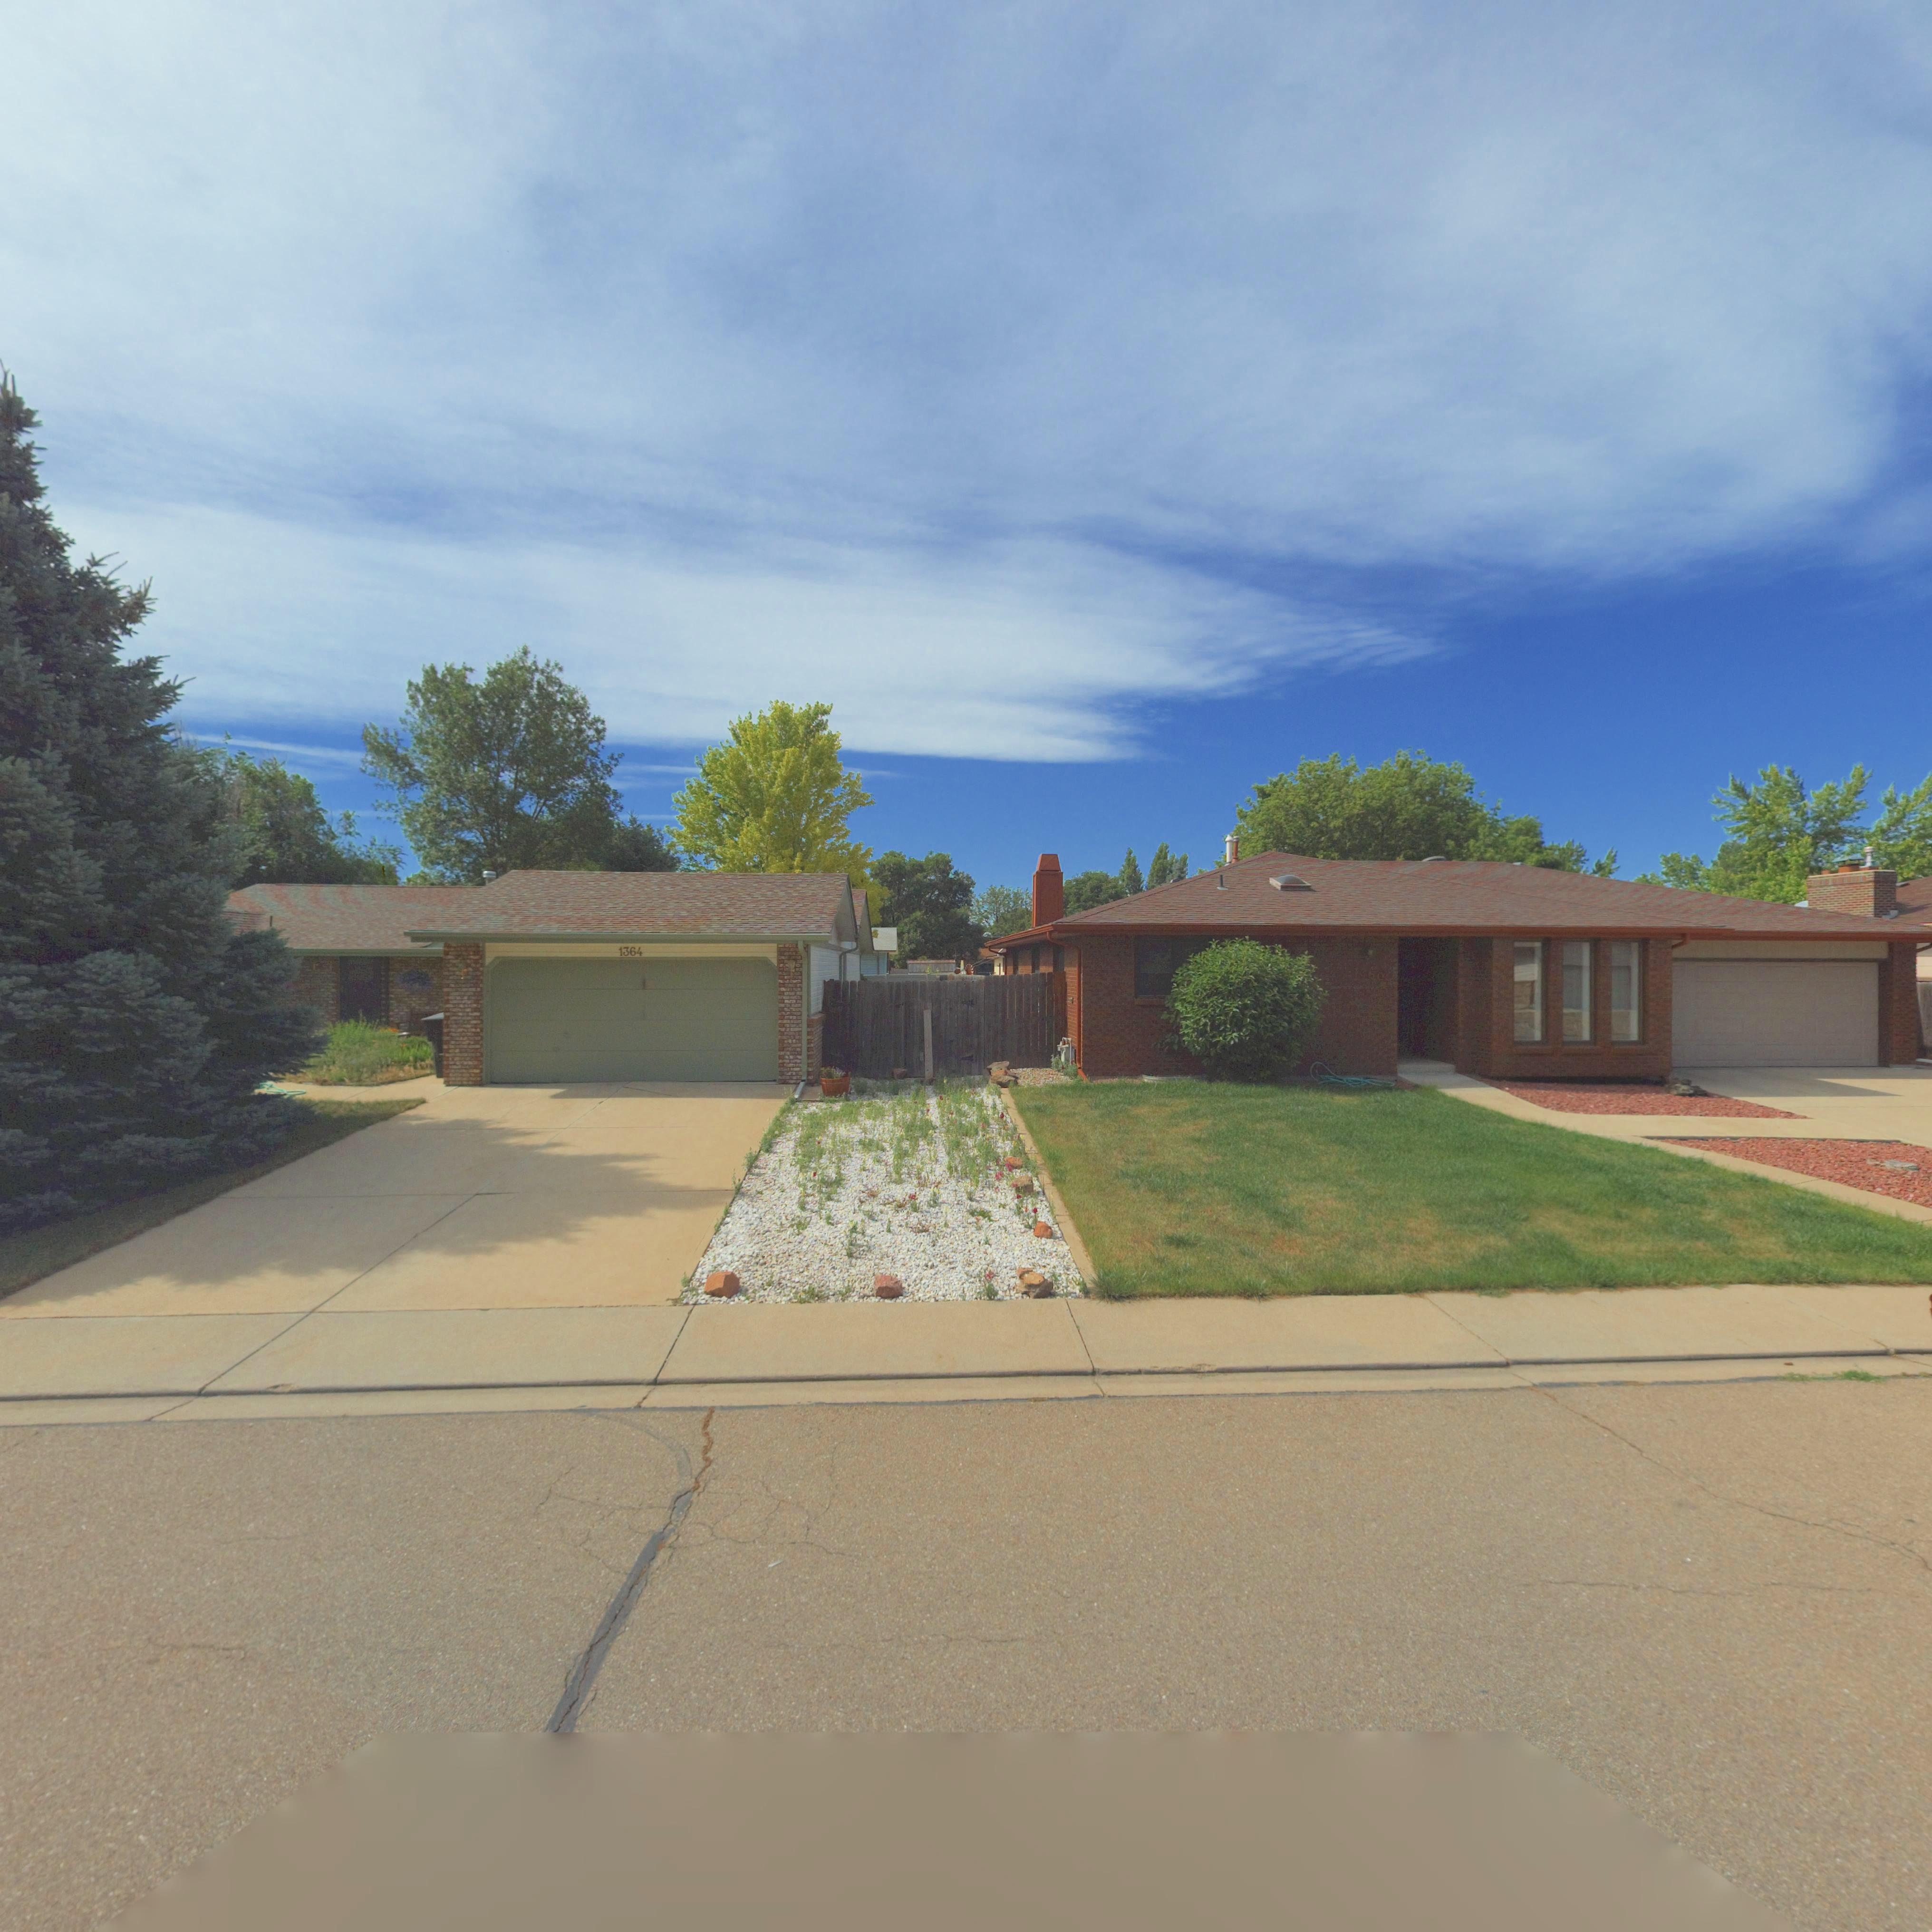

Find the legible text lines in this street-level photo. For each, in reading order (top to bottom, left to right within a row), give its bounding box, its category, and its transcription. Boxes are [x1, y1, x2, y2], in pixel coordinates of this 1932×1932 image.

[618, 946, 643, 956] StreetNumber: 1364
[1353, 966, 1385, 982] StreetNumber: 1360